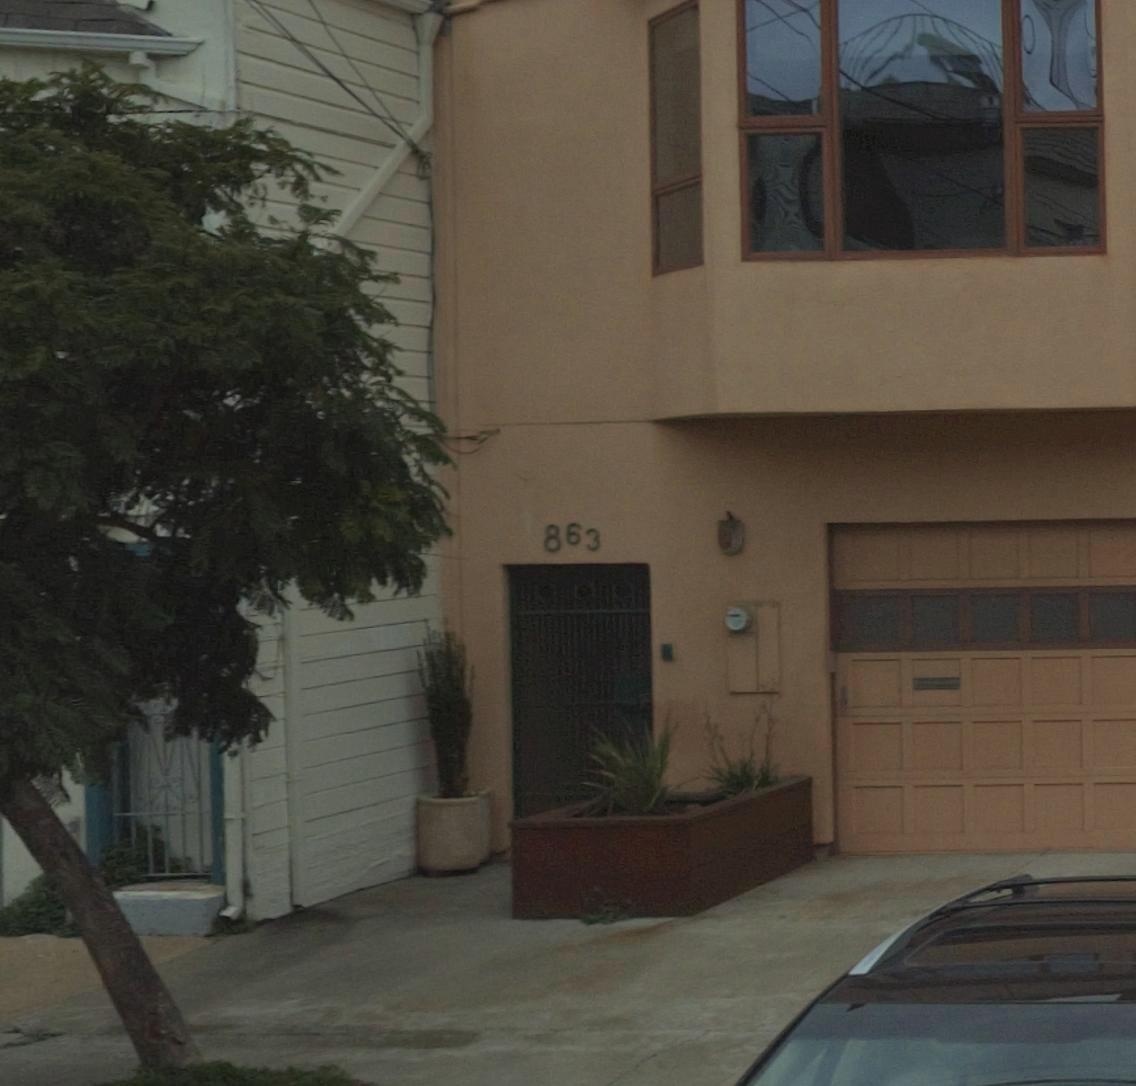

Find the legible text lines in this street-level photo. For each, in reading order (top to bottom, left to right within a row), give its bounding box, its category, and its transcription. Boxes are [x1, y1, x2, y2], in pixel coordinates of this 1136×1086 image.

[542, 522, 601, 554] StreetNumber: 863